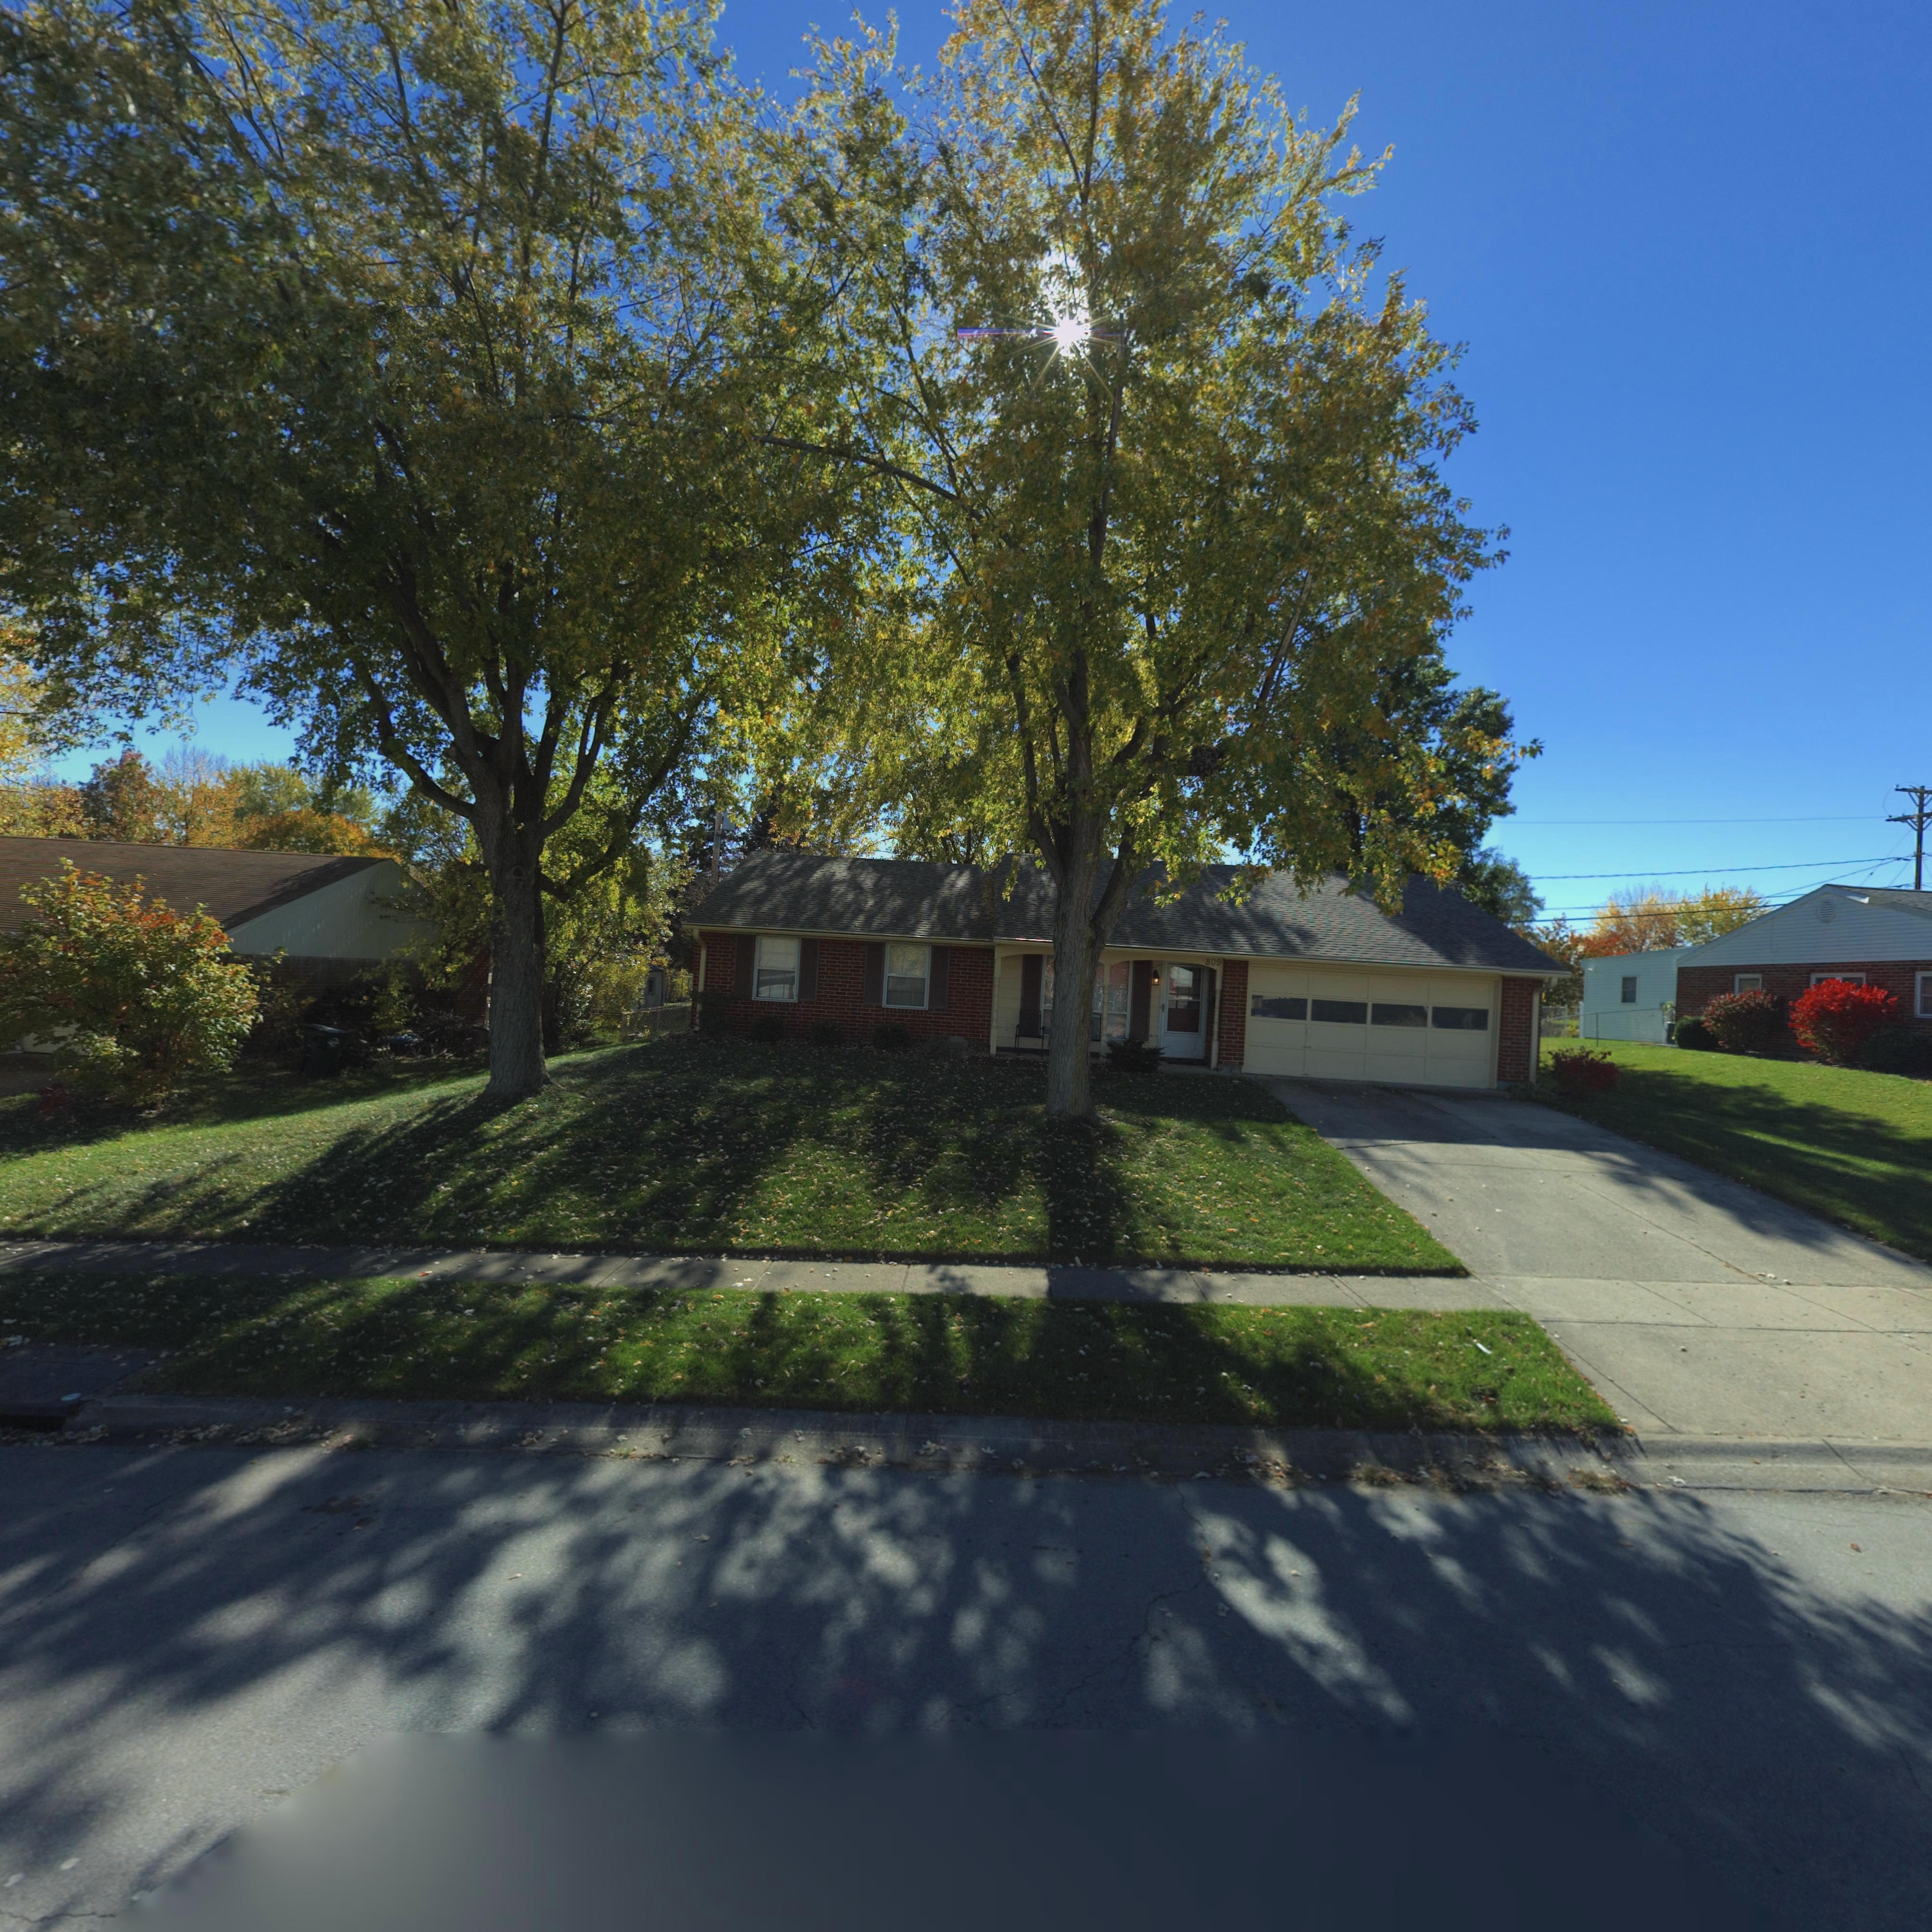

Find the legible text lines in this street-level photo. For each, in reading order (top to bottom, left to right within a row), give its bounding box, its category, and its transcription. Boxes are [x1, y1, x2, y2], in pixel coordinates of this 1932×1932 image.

[1205, 957, 1222, 967] StreetNumber: 809